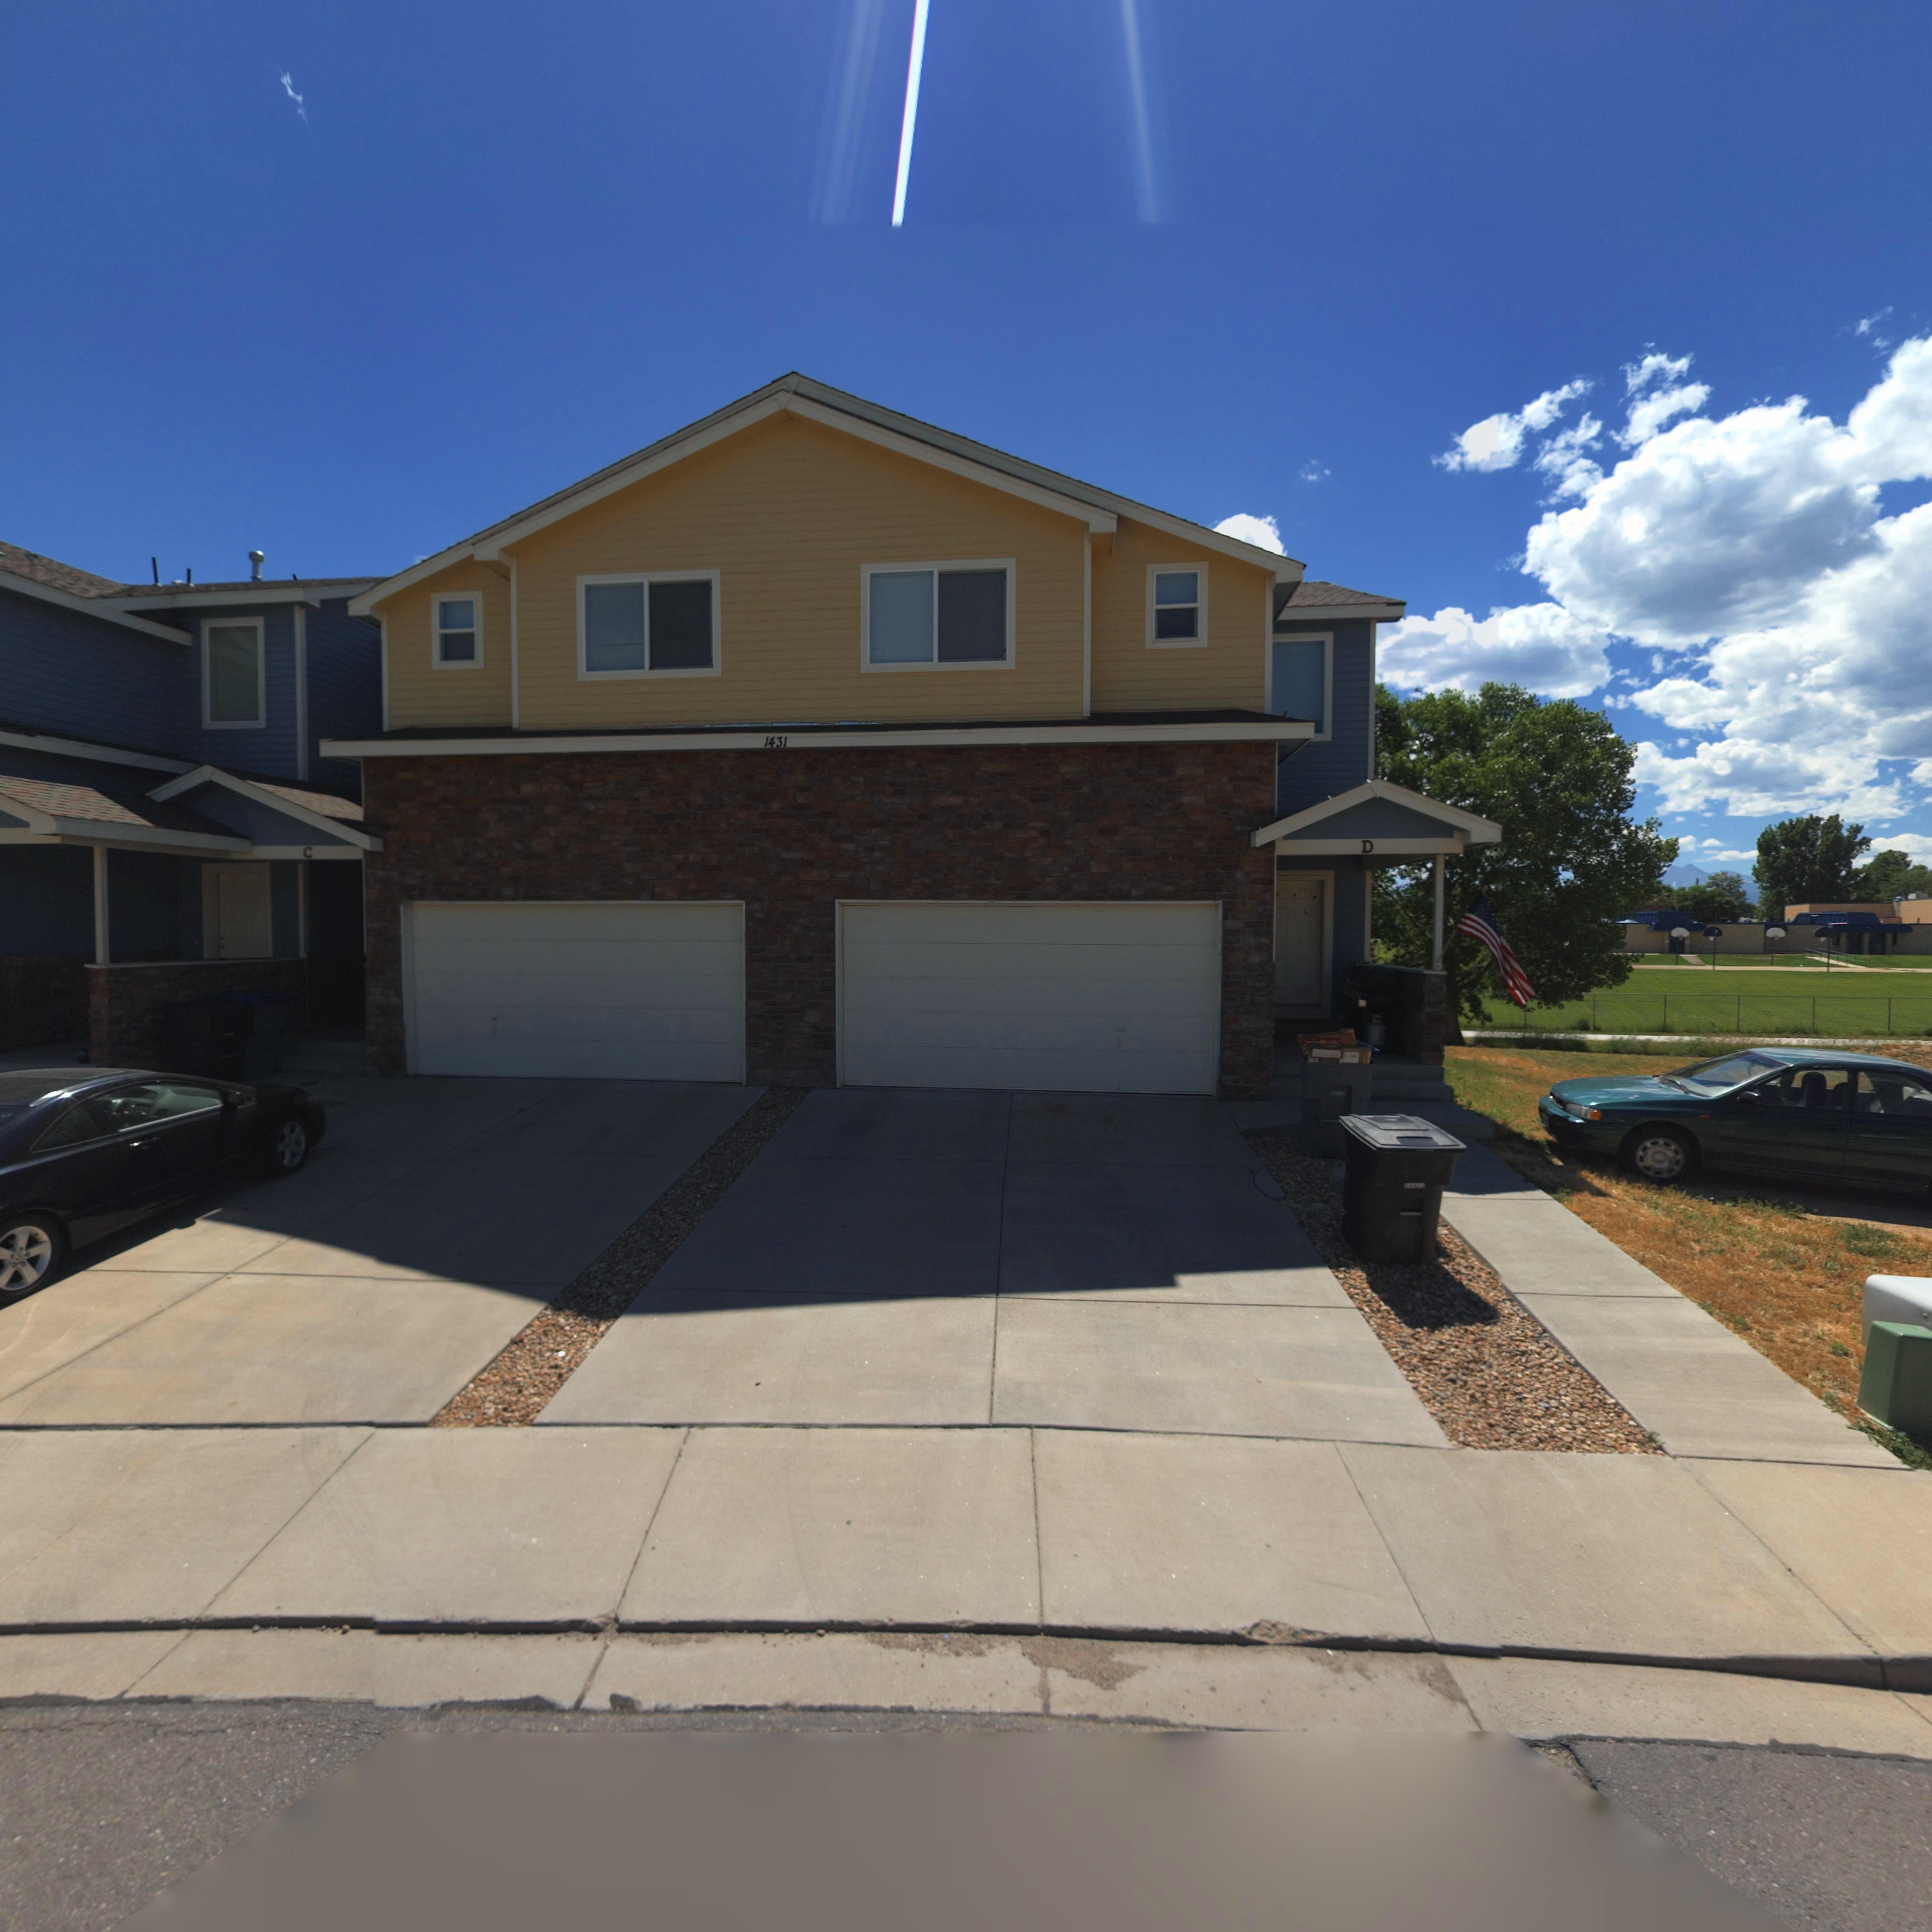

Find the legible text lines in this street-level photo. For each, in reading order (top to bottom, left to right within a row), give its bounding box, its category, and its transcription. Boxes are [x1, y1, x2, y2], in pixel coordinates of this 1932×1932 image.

[763, 735, 788, 747] StreetNumber: 1431